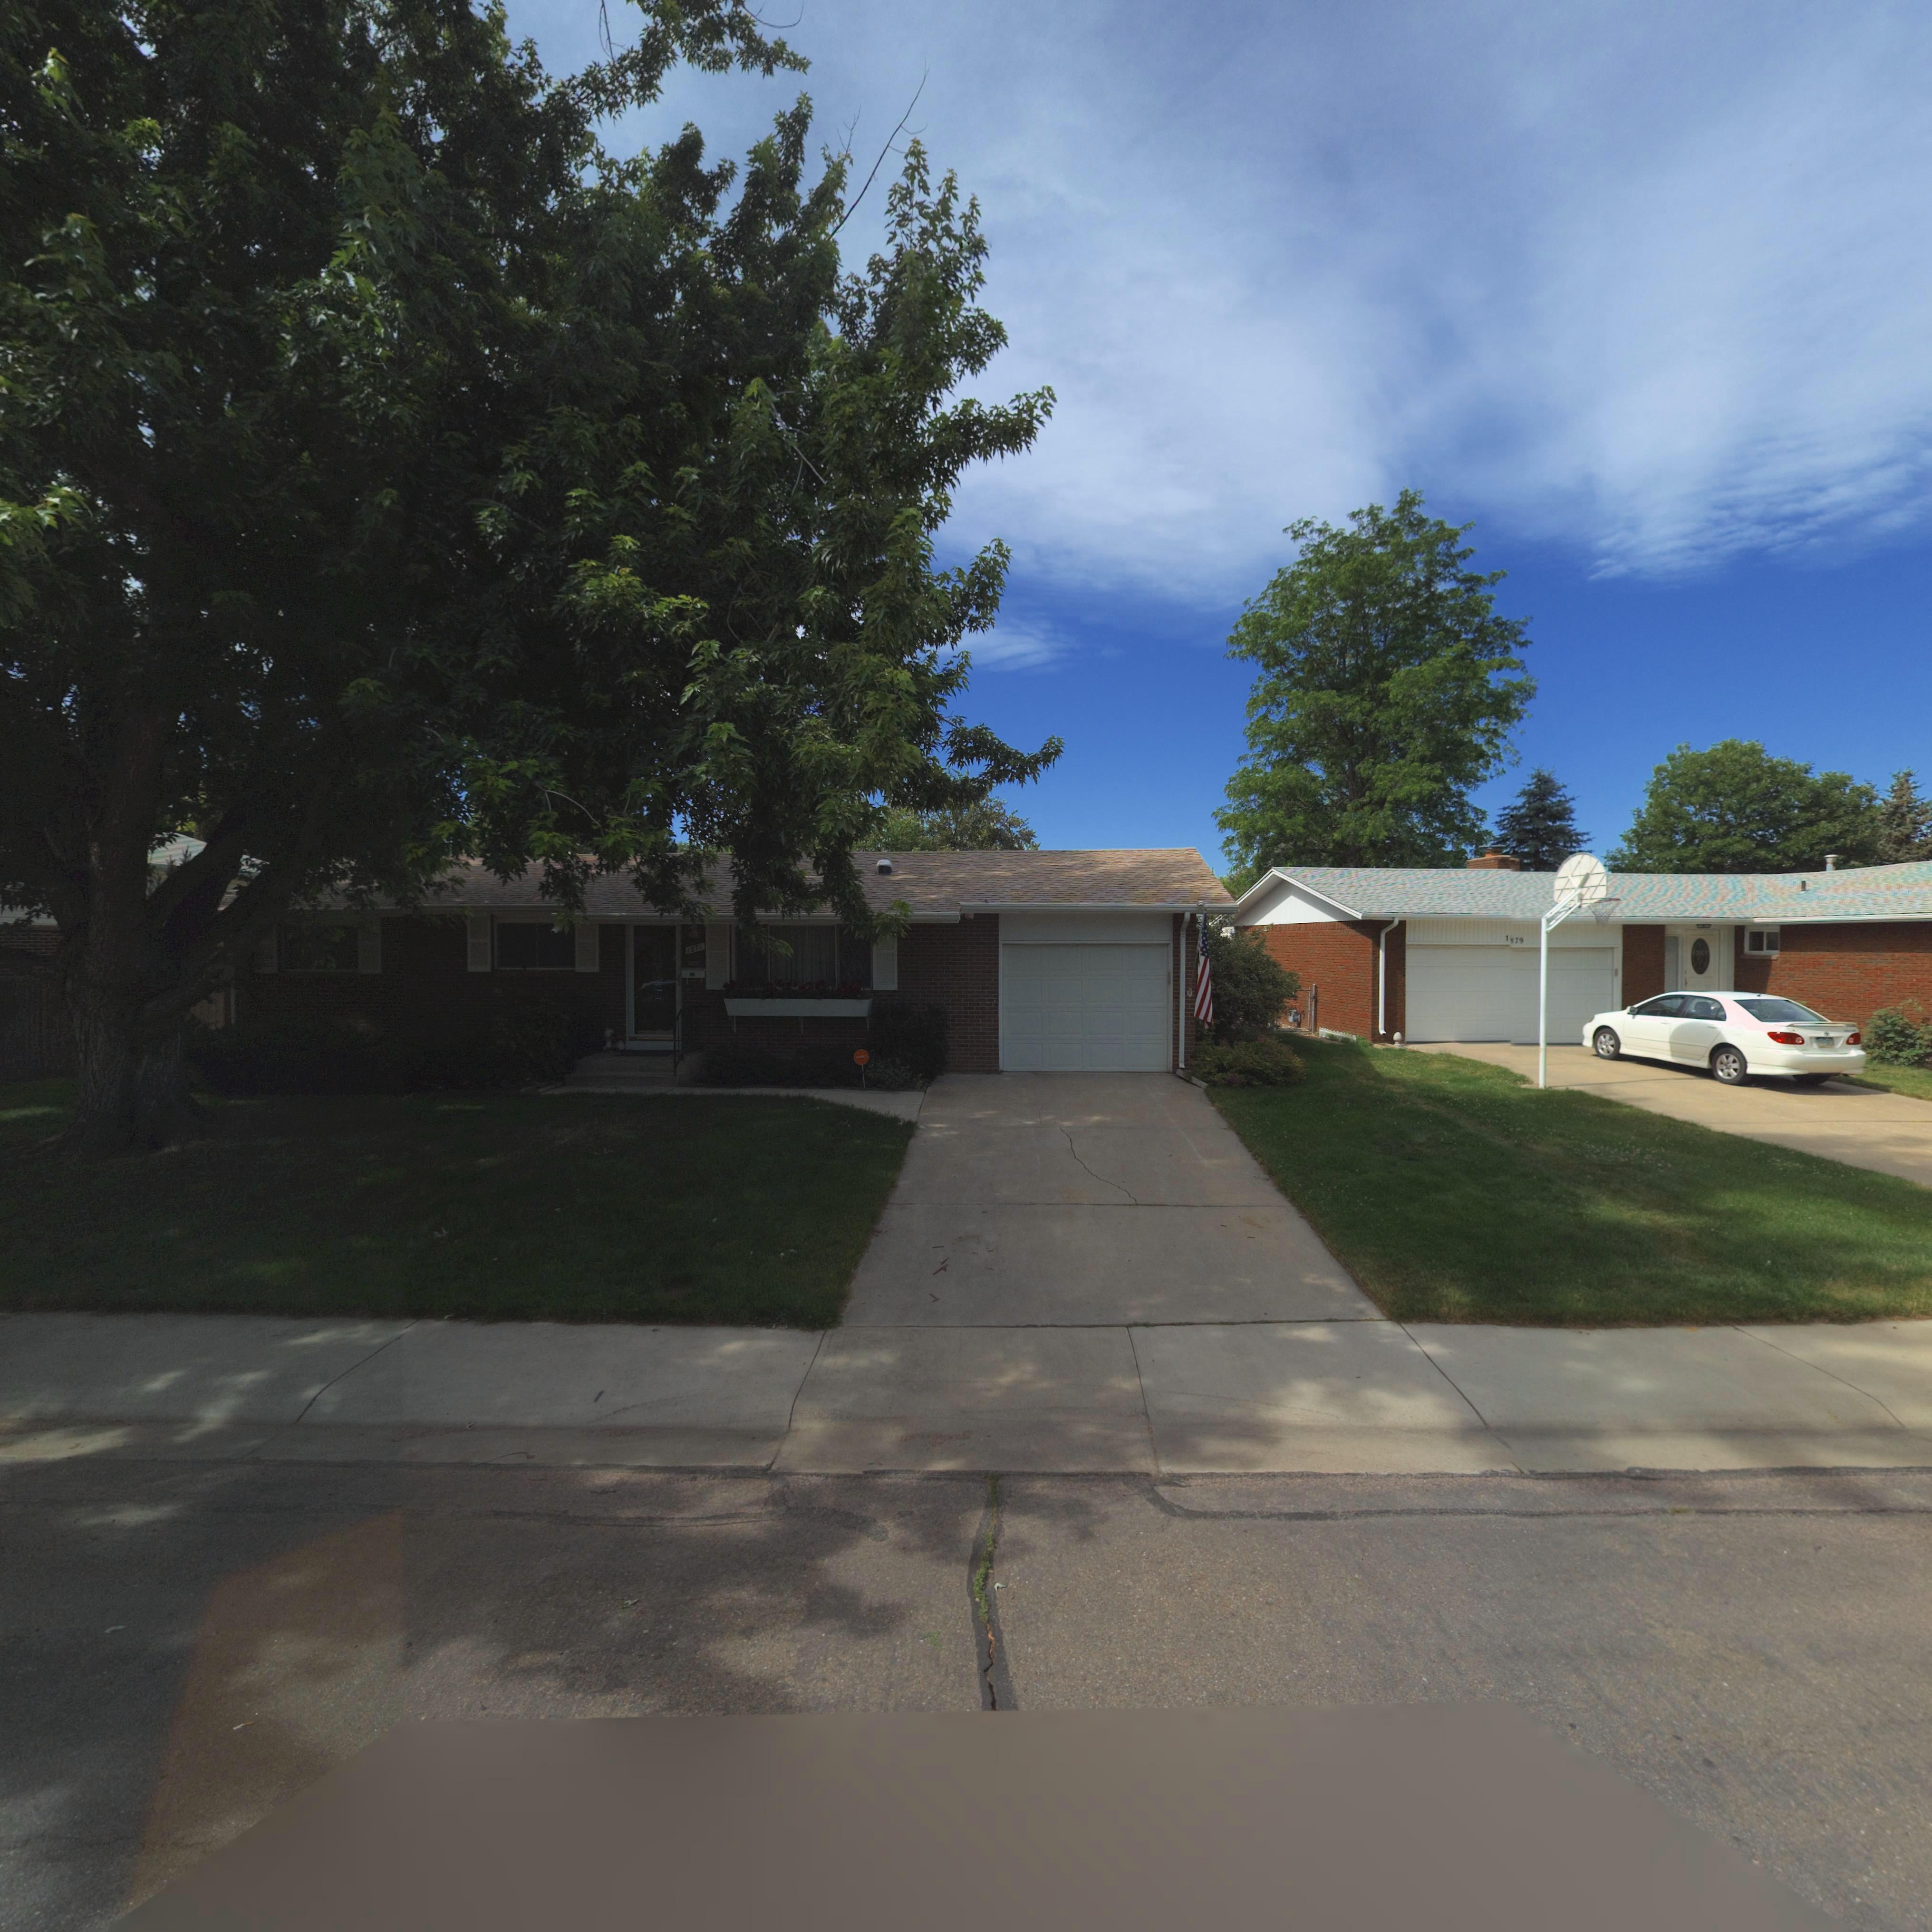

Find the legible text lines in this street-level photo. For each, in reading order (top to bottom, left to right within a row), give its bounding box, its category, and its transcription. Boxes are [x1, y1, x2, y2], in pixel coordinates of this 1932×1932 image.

[1505, 935, 1524, 945] StreetNumber: 1879
[686, 943, 702, 953] StreetNumber: 1871